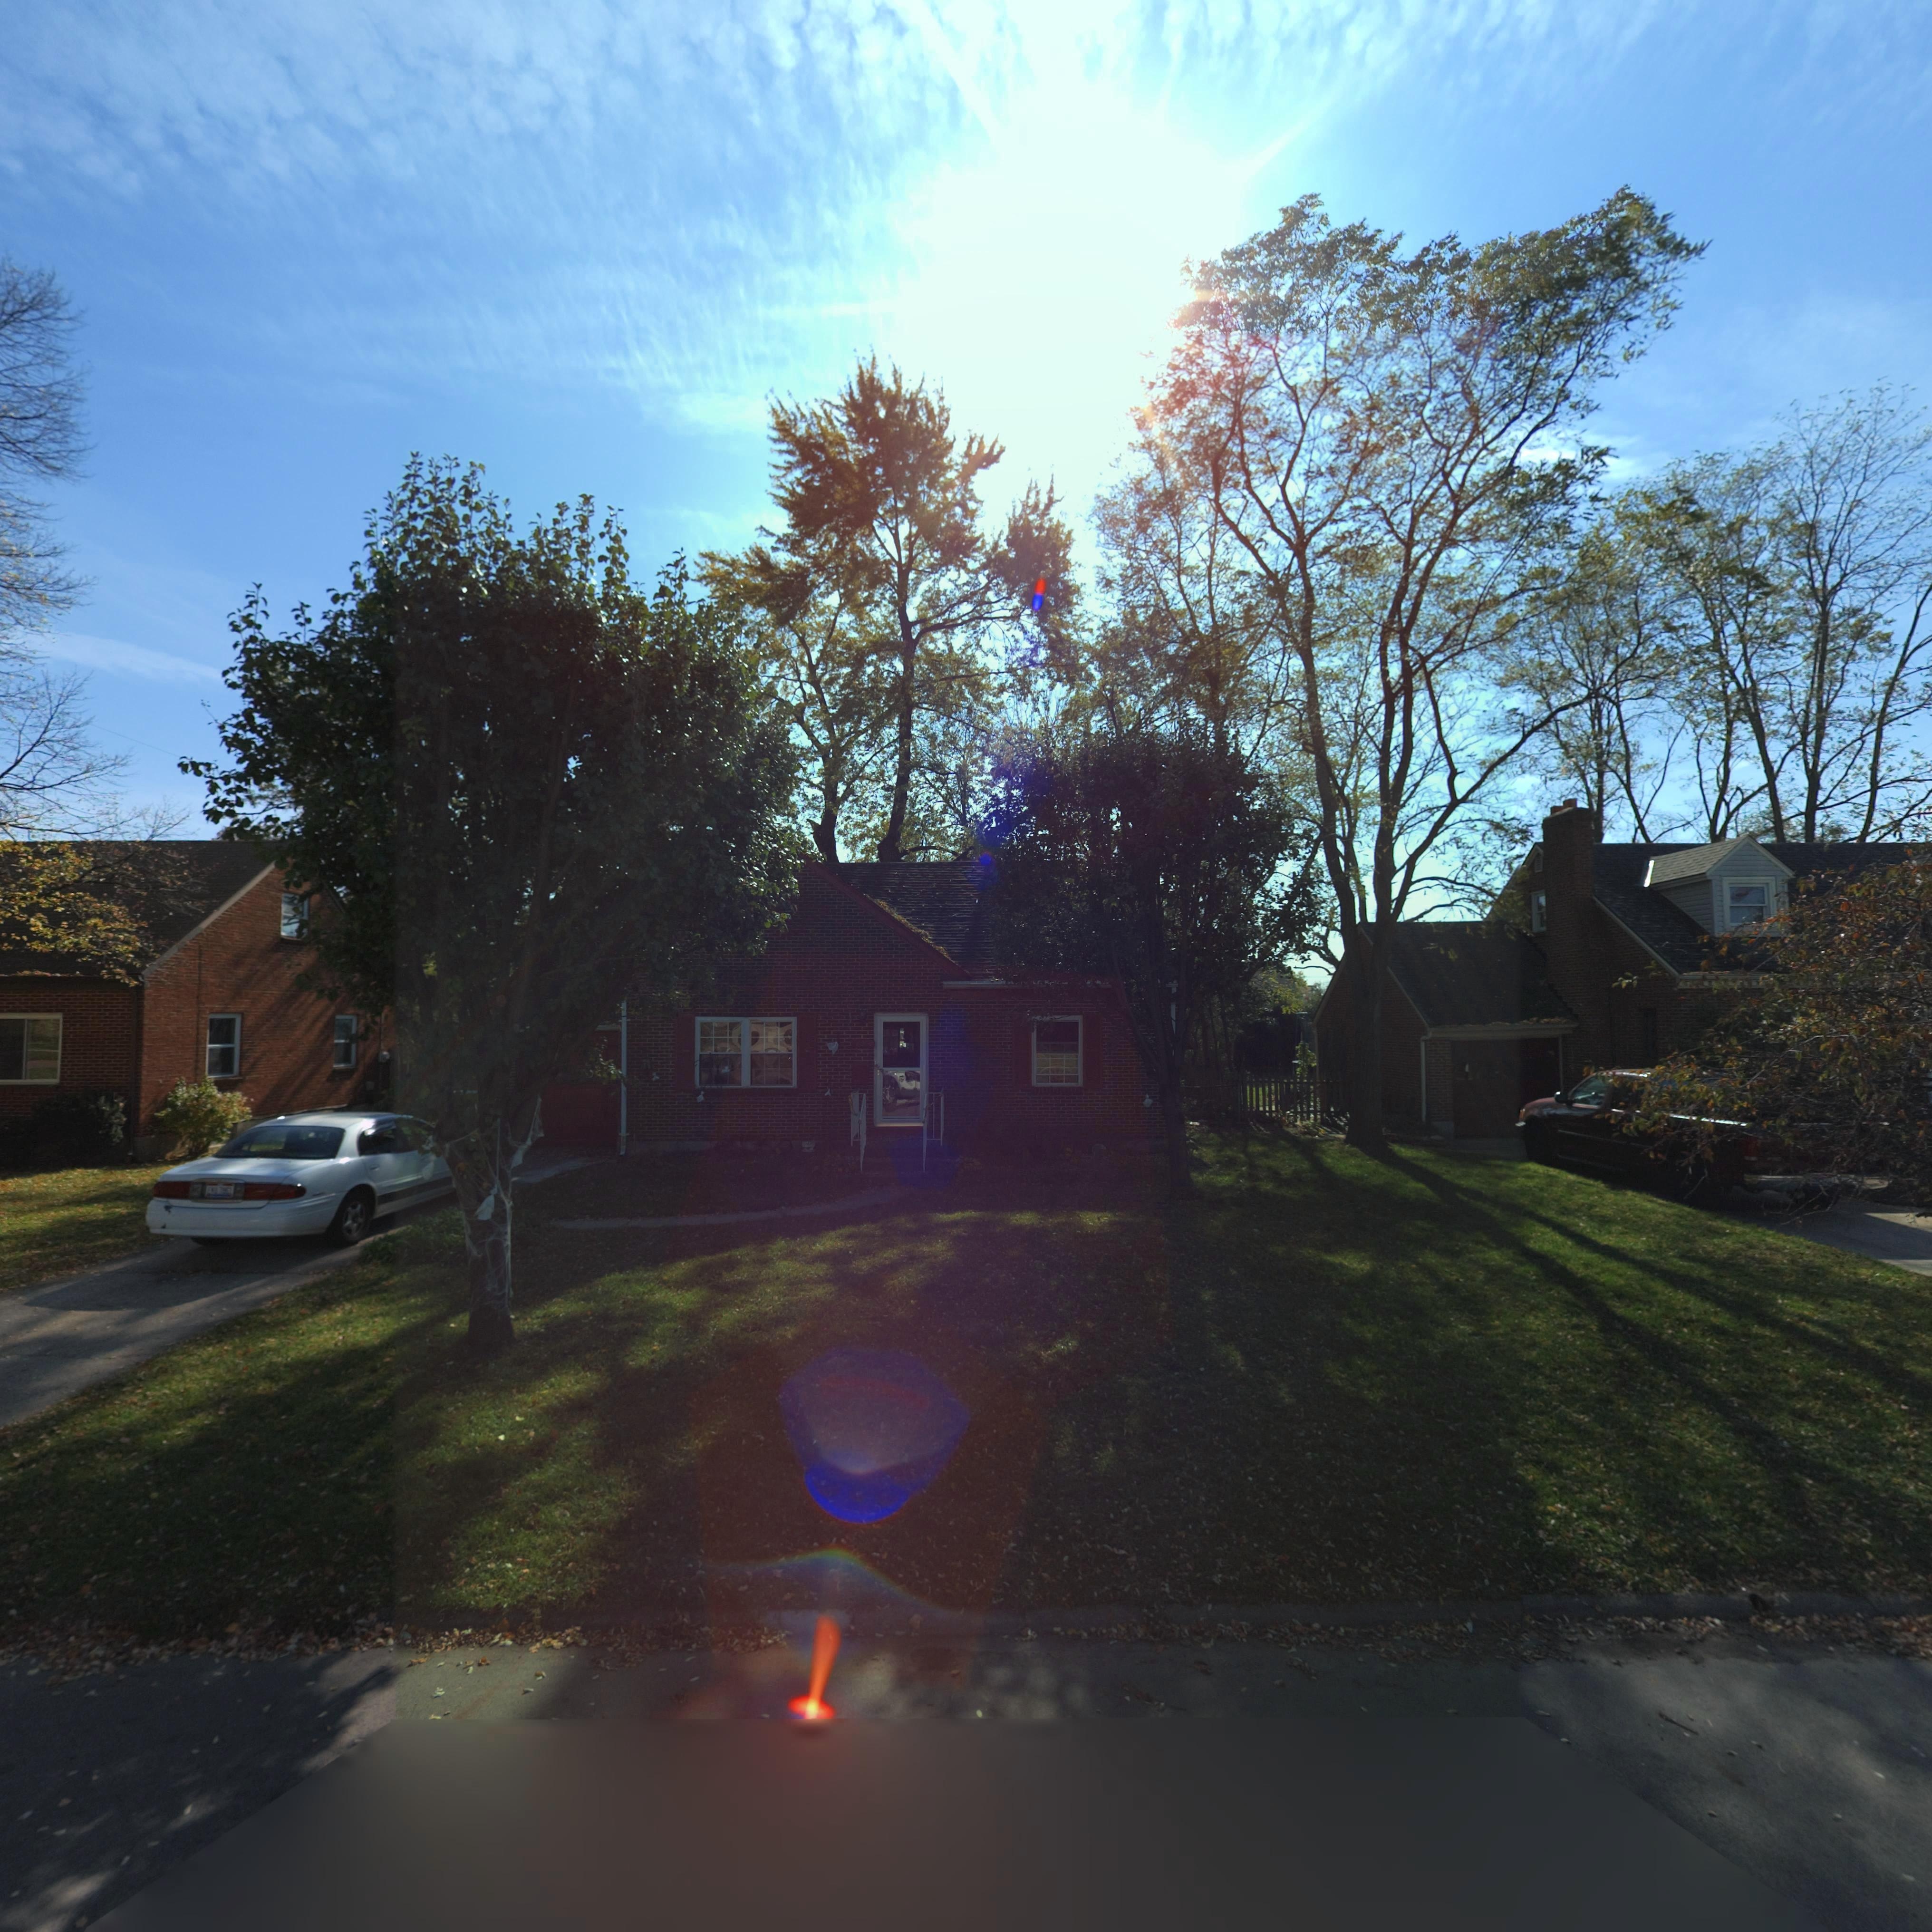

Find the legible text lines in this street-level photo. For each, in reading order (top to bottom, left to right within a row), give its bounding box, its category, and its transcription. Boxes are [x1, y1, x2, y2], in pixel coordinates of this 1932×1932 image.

[854, 1040, 872, 1046] StreetNumber: *2*